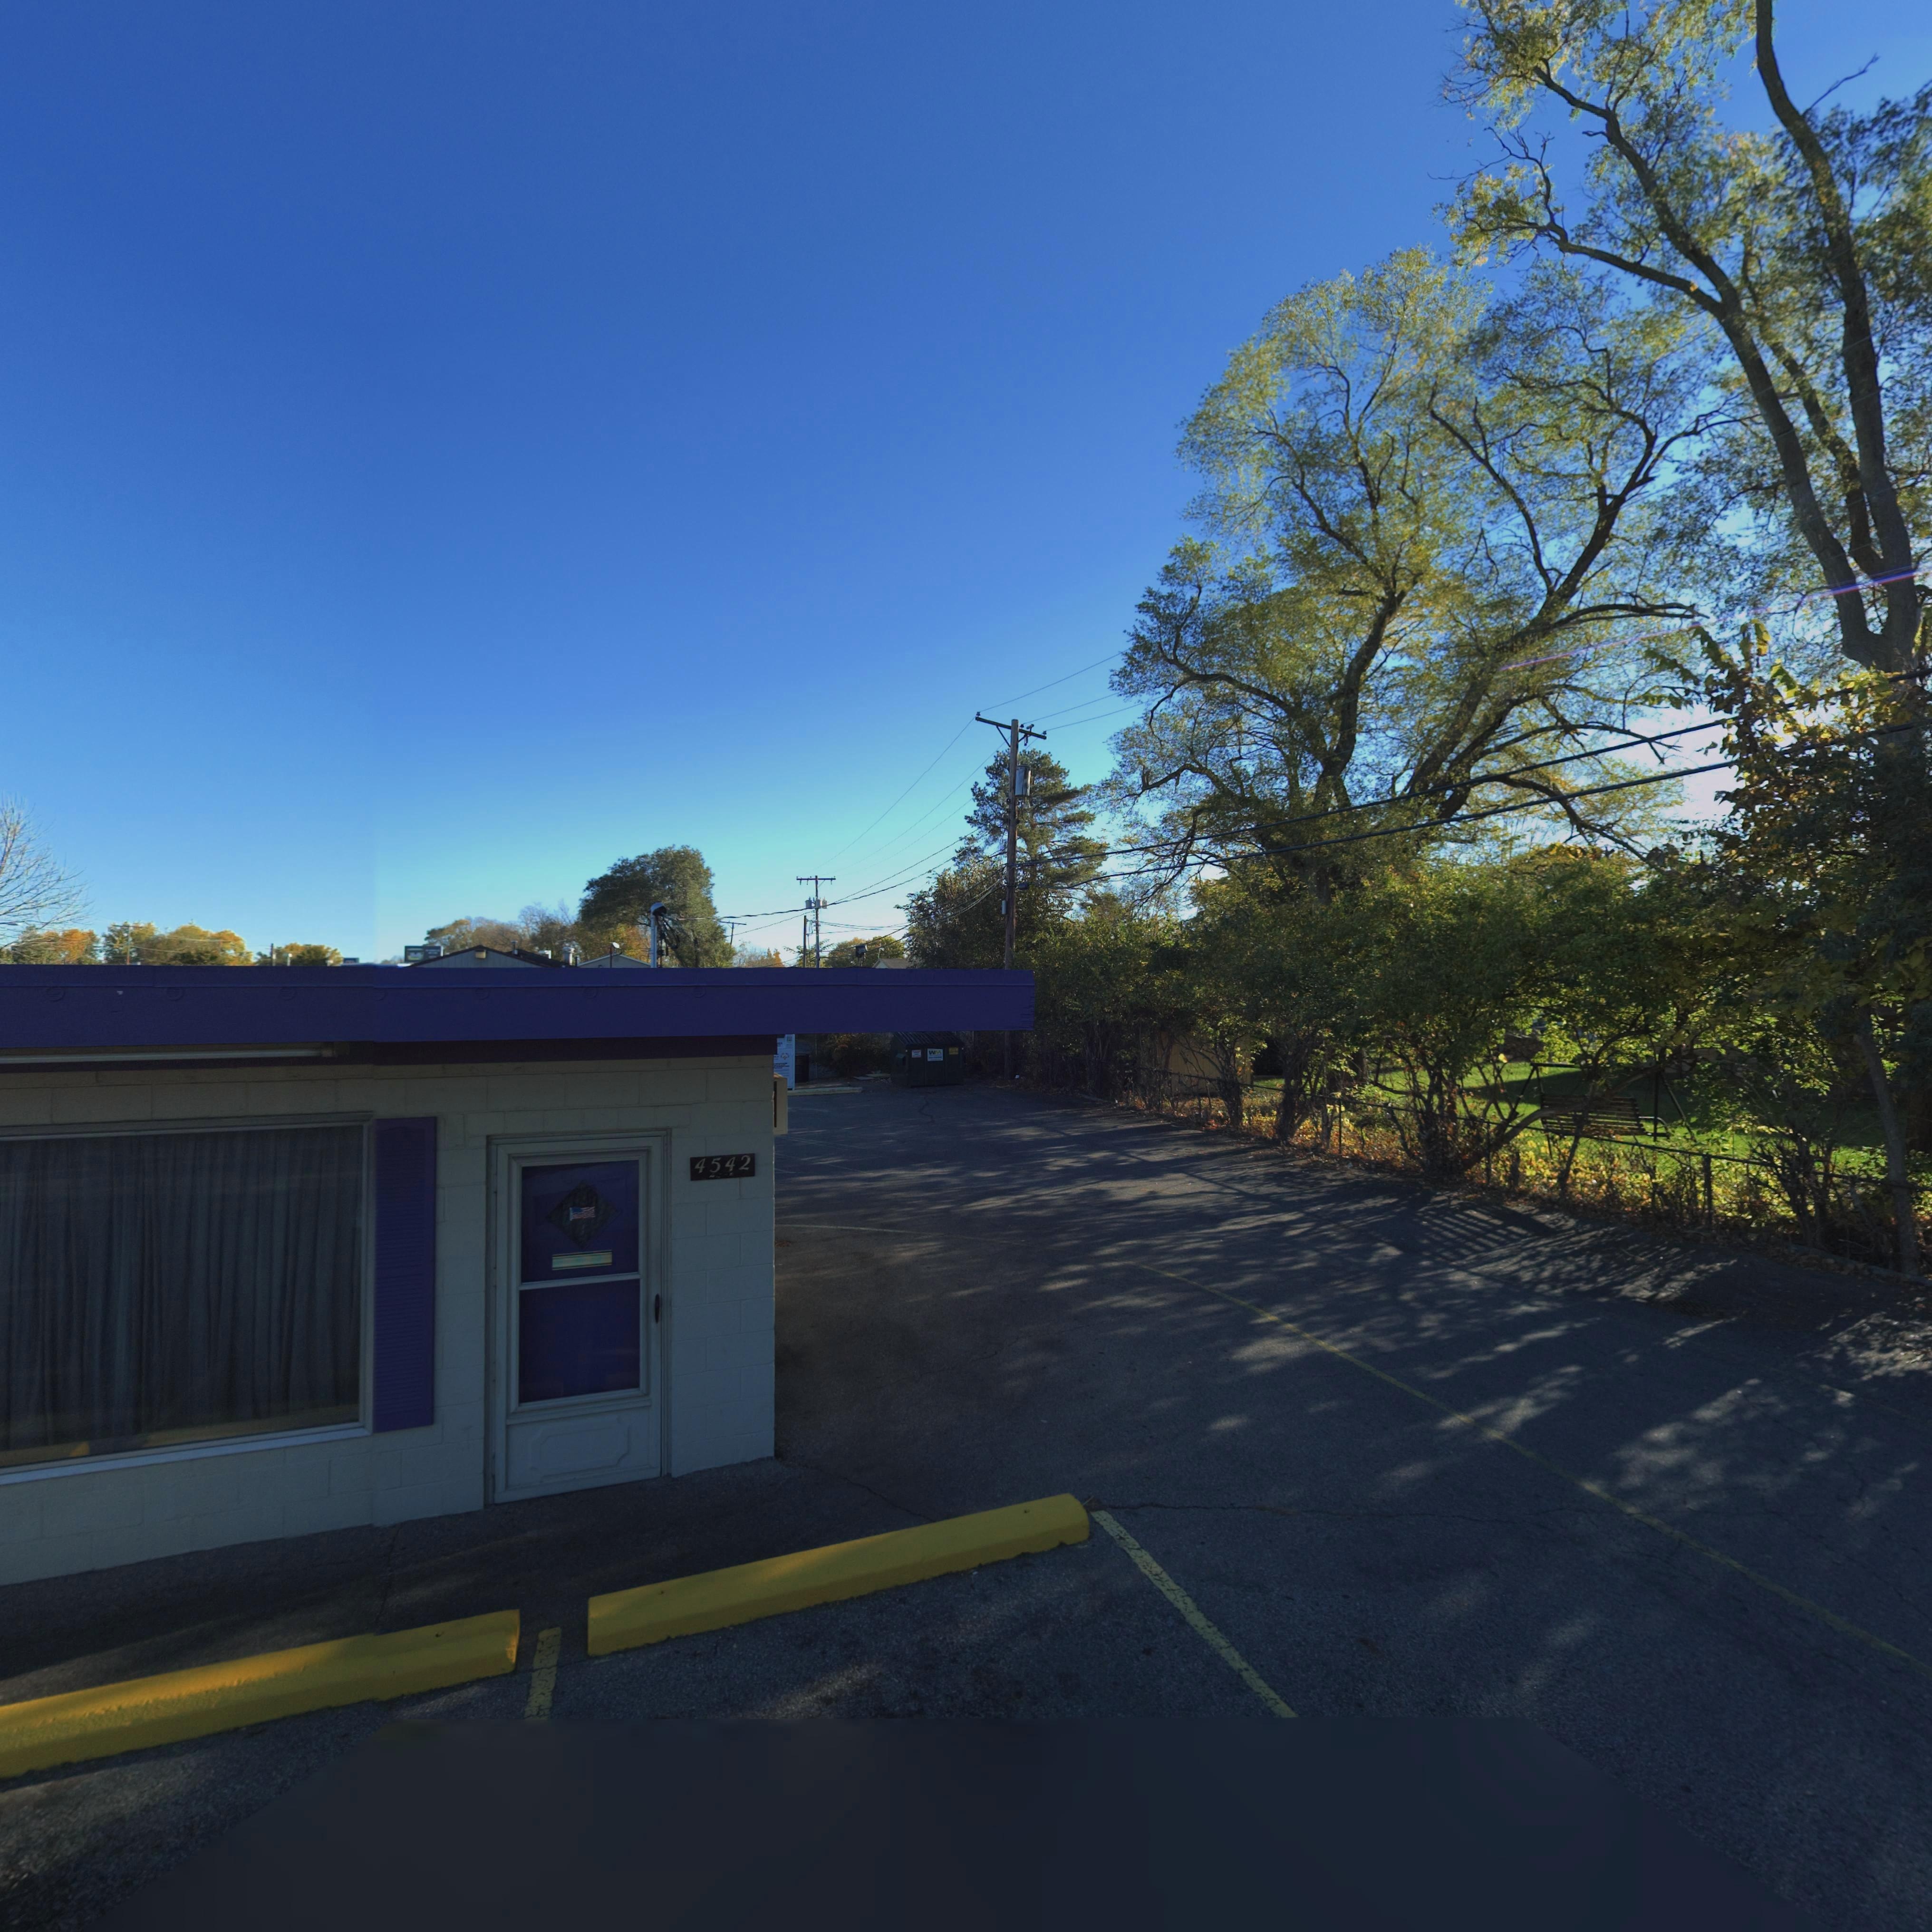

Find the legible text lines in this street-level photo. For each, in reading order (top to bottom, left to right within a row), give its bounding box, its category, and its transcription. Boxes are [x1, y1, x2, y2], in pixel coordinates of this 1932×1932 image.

[694, 1153, 752, 1175] StreetNumber: 4542